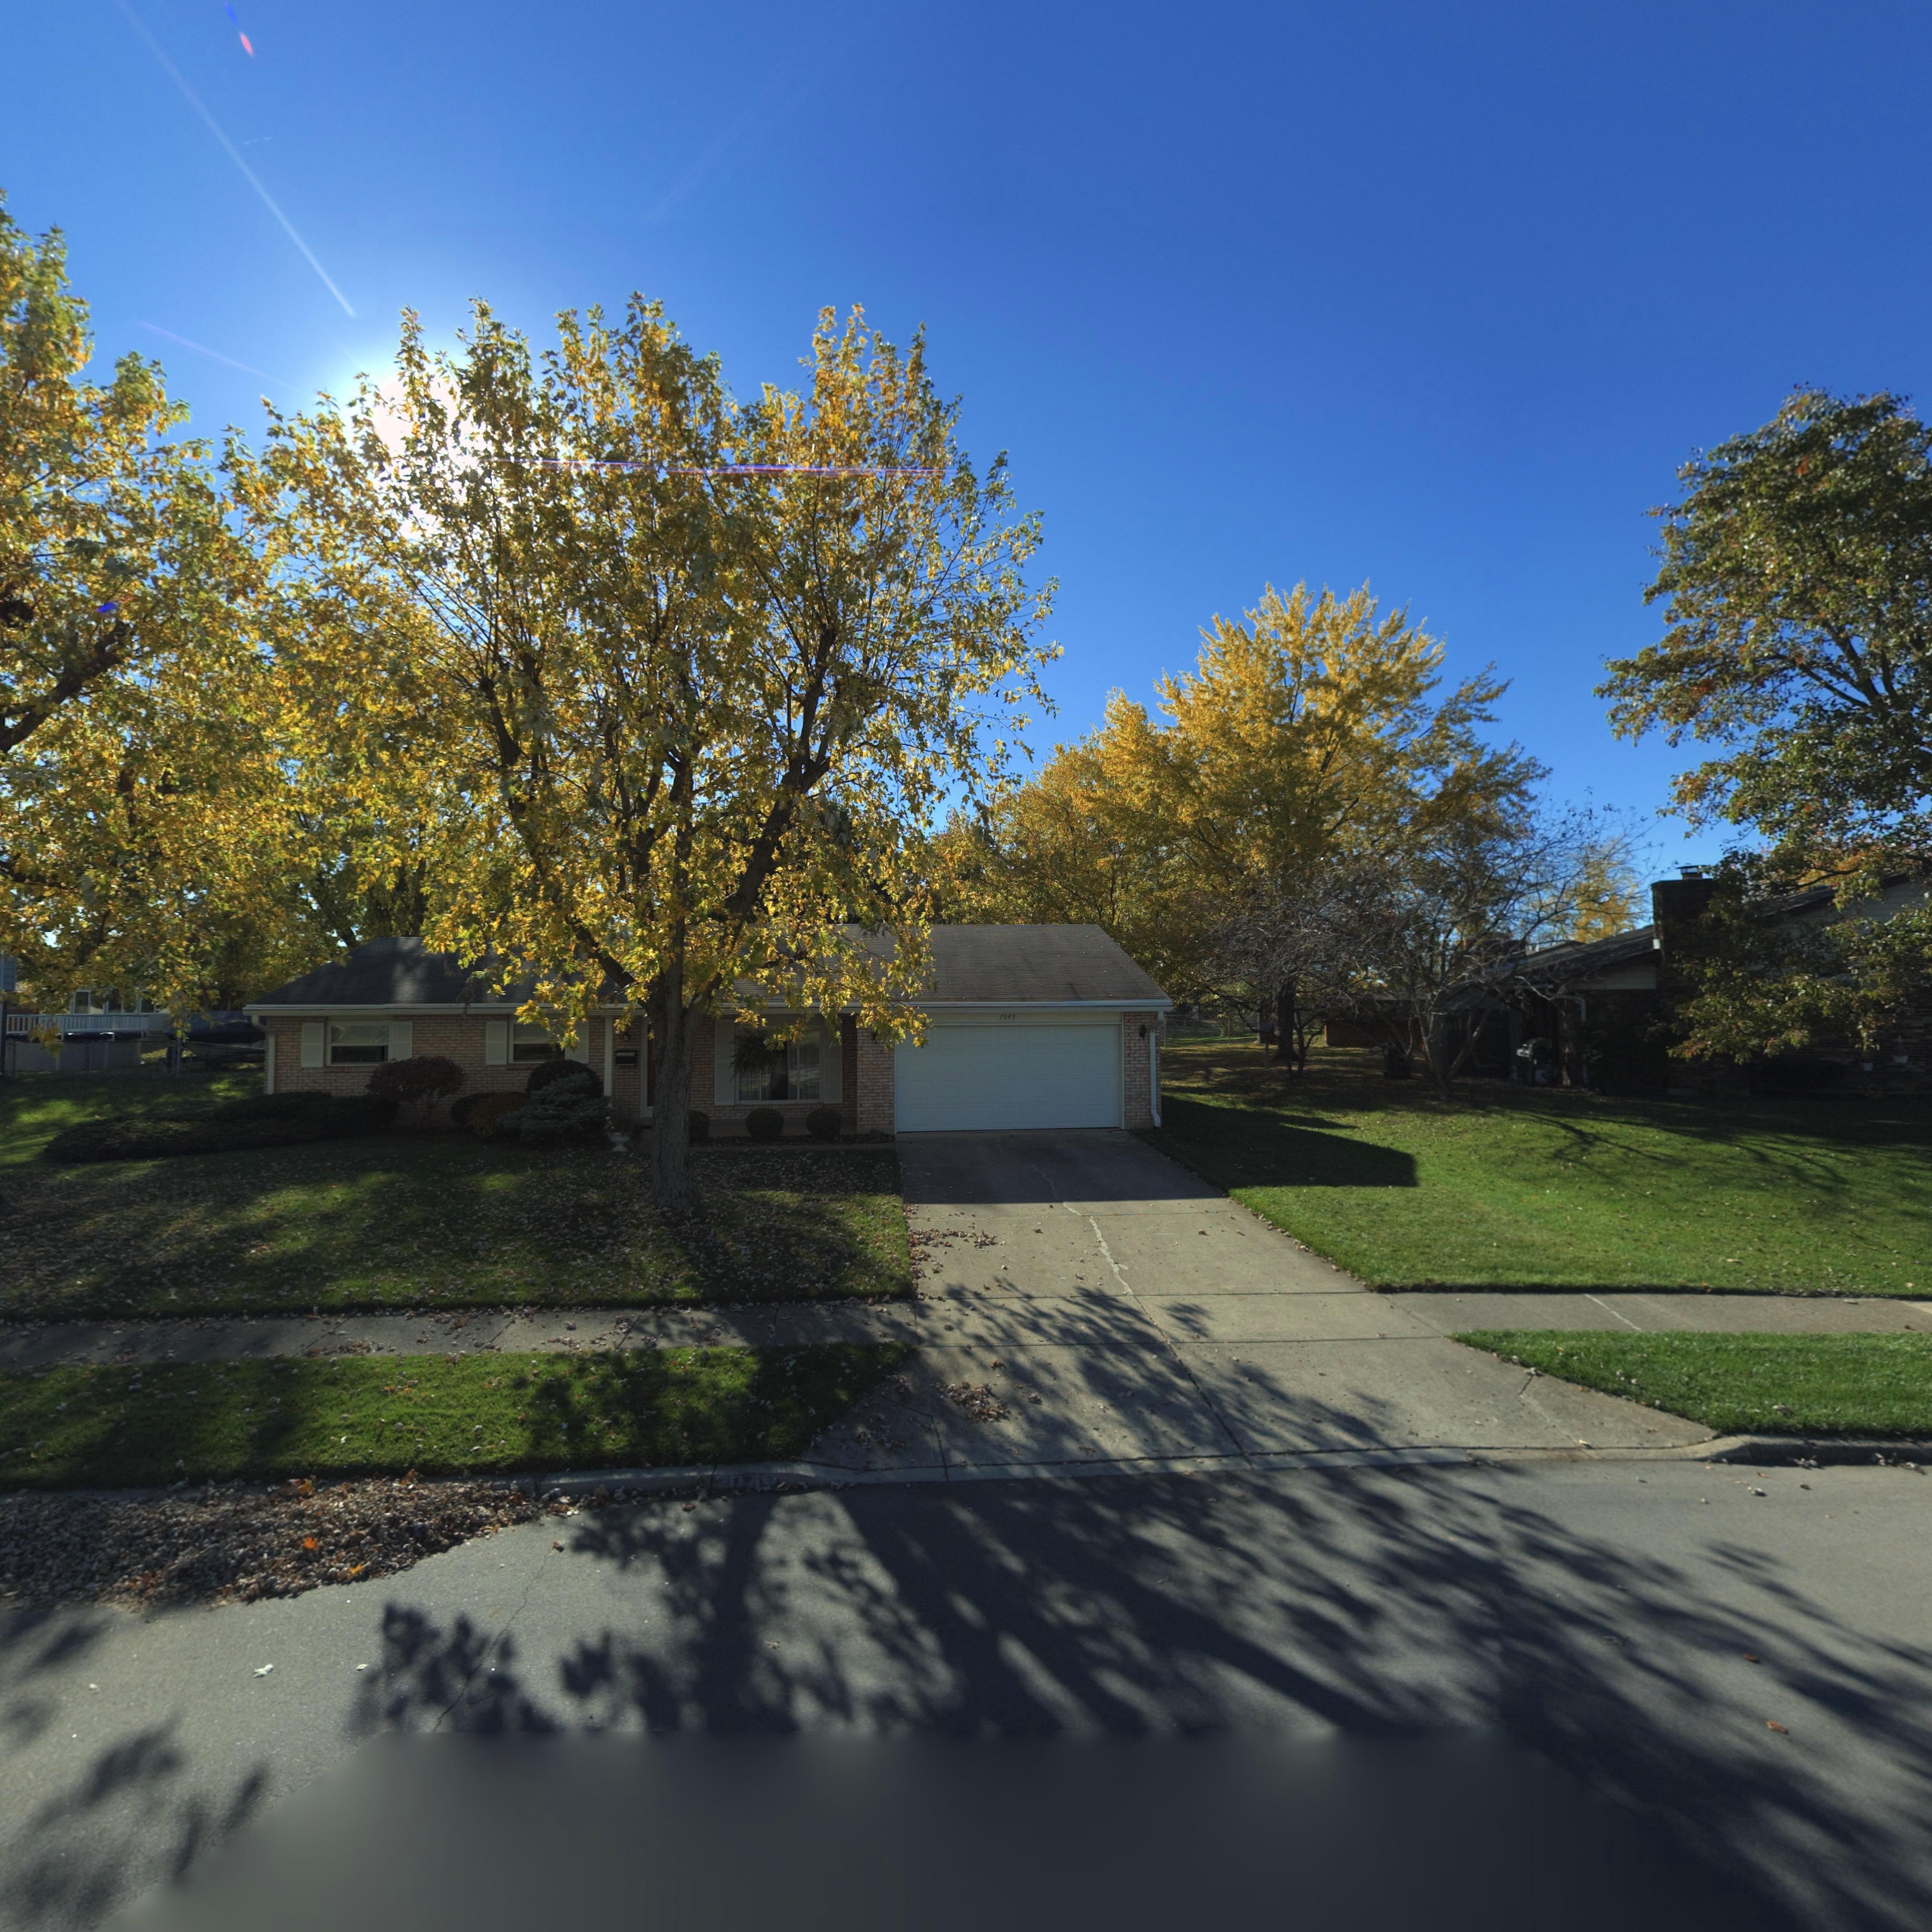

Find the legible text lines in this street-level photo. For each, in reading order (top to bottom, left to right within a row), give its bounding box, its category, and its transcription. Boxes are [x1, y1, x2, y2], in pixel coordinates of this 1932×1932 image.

[999, 1014, 1016, 1020] StreetNumber: 7049
[714, 1474, 779, 1490] StreetNumber: 7049